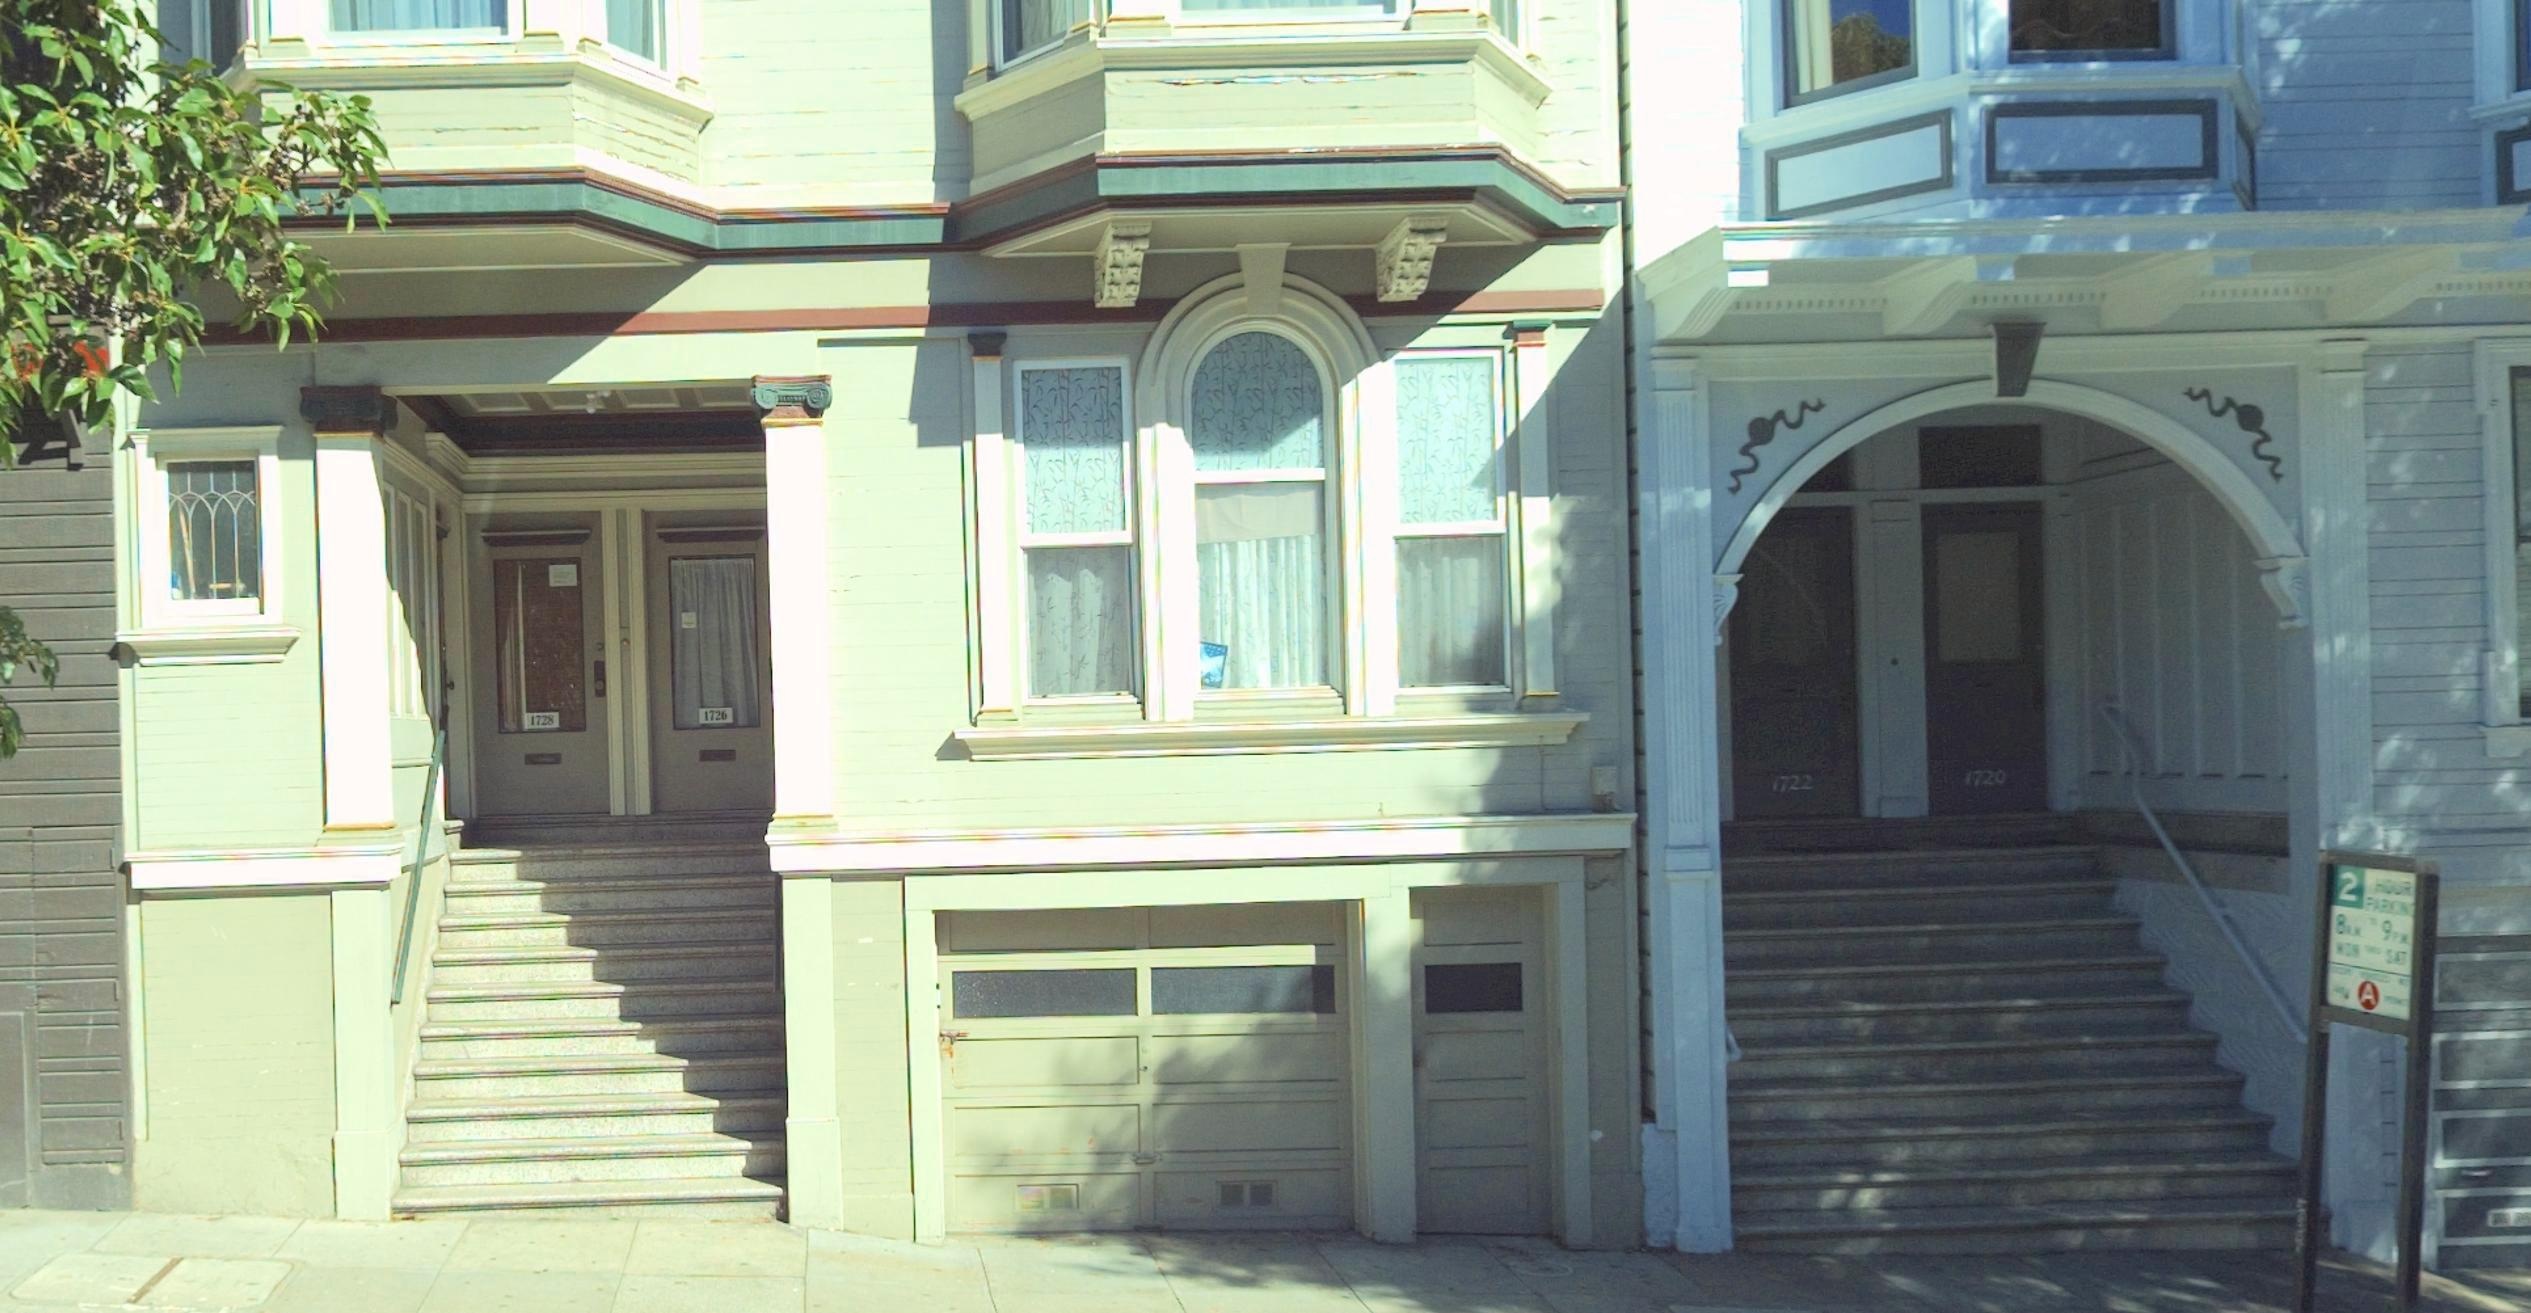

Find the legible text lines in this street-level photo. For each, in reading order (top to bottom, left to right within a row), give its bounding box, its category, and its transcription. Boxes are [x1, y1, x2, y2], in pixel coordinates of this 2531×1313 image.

[641, 500, 797, 813] StreetNumber: 1726
[500, 695, 553, 744] StreetNumber: 1728
[678, 693, 734, 740] StreetNumber: 1726
[1765, 753, 1831, 809] StreetNumber: 1722
[1958, 746, 2031, 809] StreetNumber: 1720